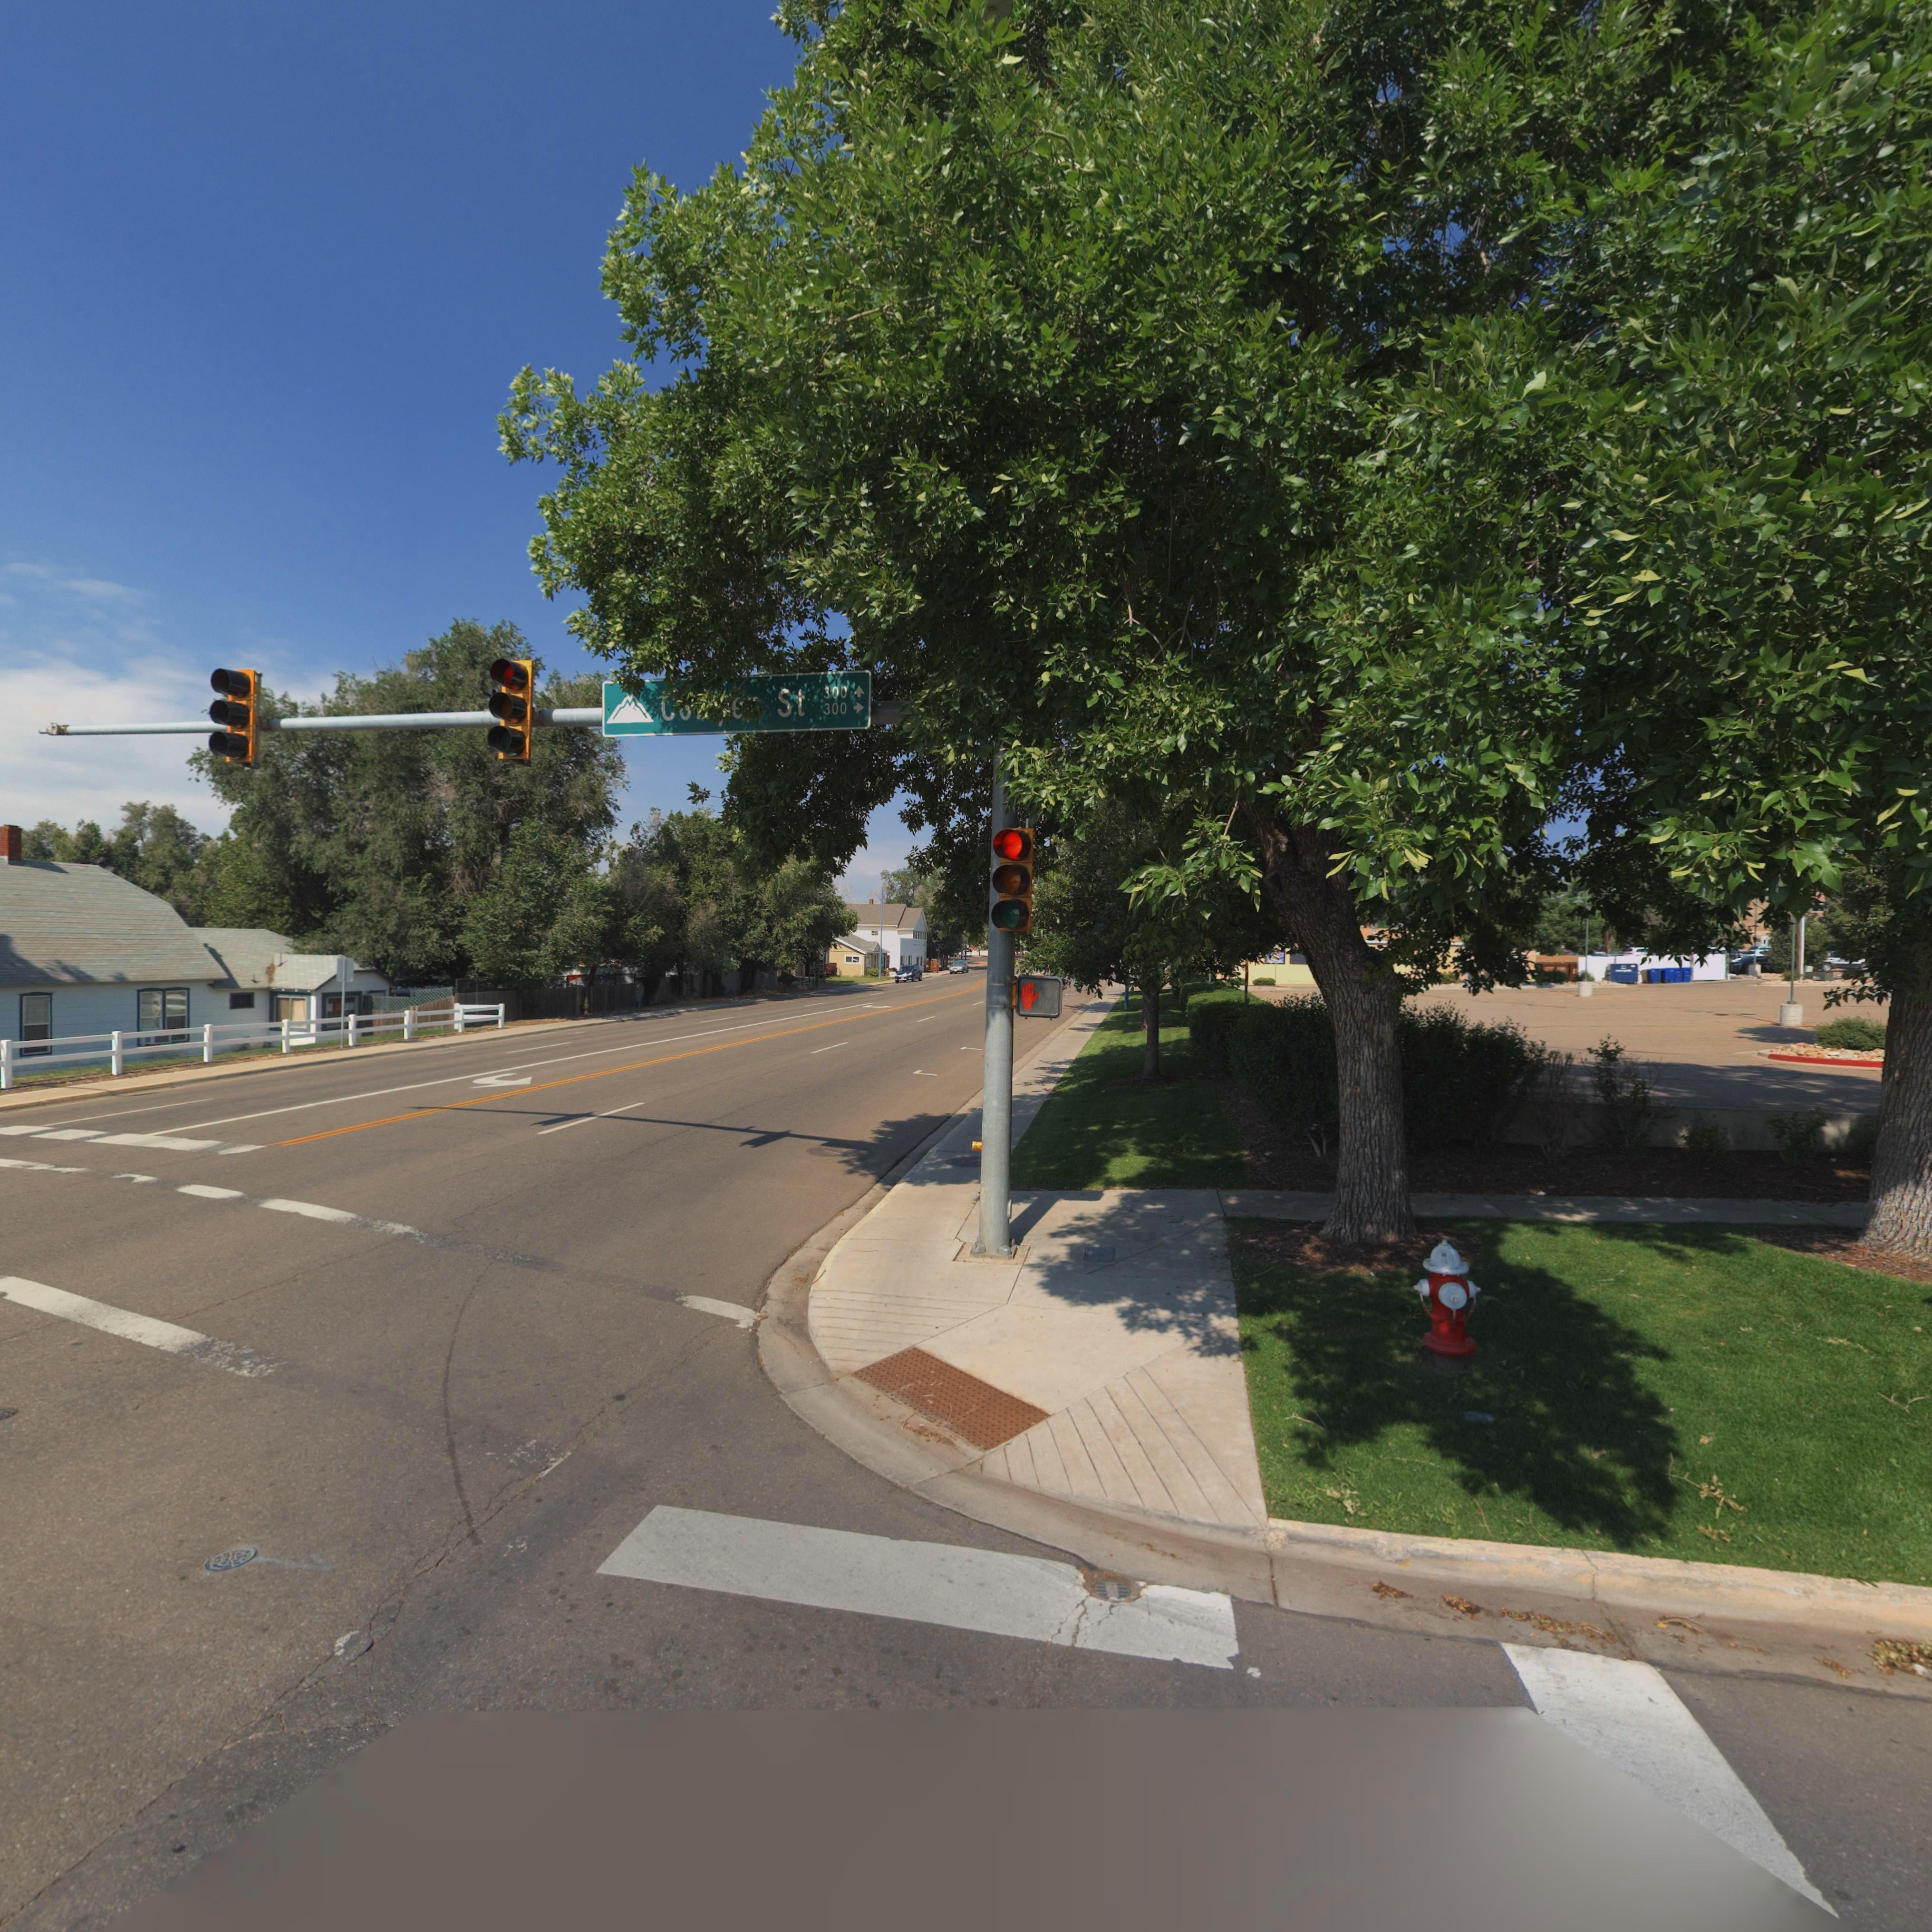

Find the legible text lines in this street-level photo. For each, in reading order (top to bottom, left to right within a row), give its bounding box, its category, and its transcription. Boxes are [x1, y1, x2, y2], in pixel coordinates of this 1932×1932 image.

[823, 686, 848, 699] StreetNumberRange: 300
[658, 687, 807, 728] StreetName: C****** St
[822, 701, 866, 715] StreetNumberRange: 300->